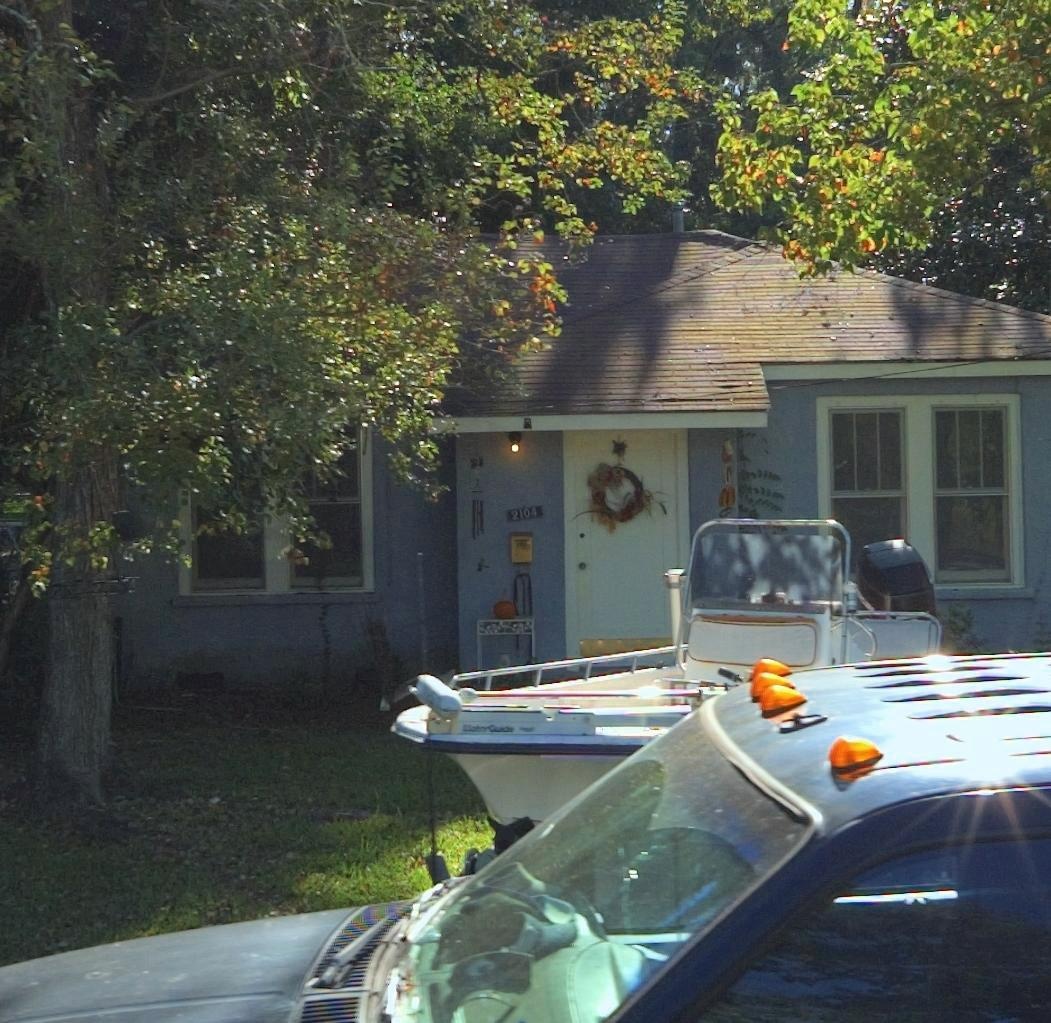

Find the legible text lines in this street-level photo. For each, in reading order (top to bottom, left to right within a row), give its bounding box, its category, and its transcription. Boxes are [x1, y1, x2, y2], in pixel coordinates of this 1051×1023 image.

[509, 505, 539, 523] StreetNumber: 2104